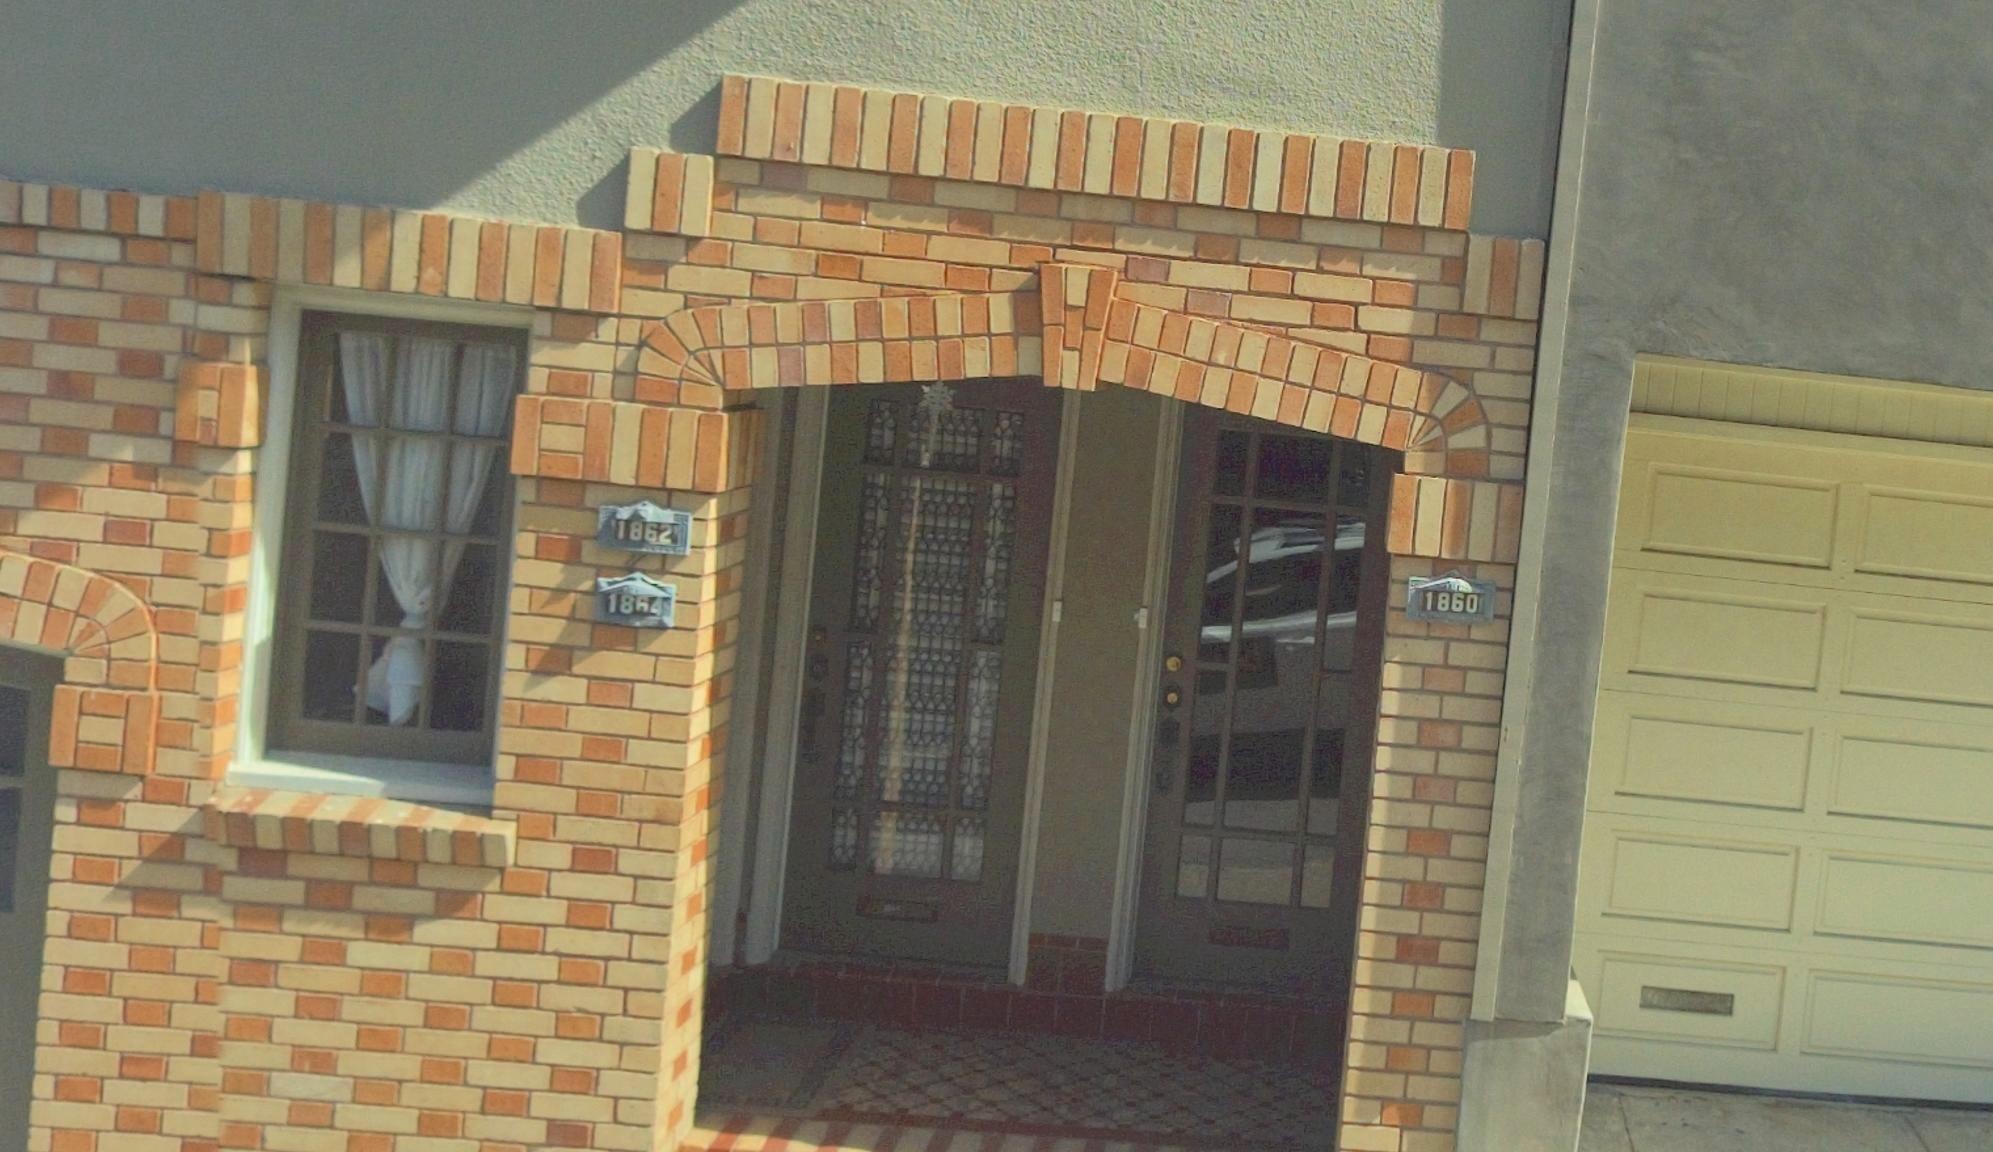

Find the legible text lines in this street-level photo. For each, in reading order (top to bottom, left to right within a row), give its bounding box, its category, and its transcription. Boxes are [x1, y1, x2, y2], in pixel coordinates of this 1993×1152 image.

[617, 519, 673, 544] StreetNumber: 1862
[607, 592, 662, 617] StreetNumber: 1864
[1425, 591, 1479, 615] StreetNumber: 1860